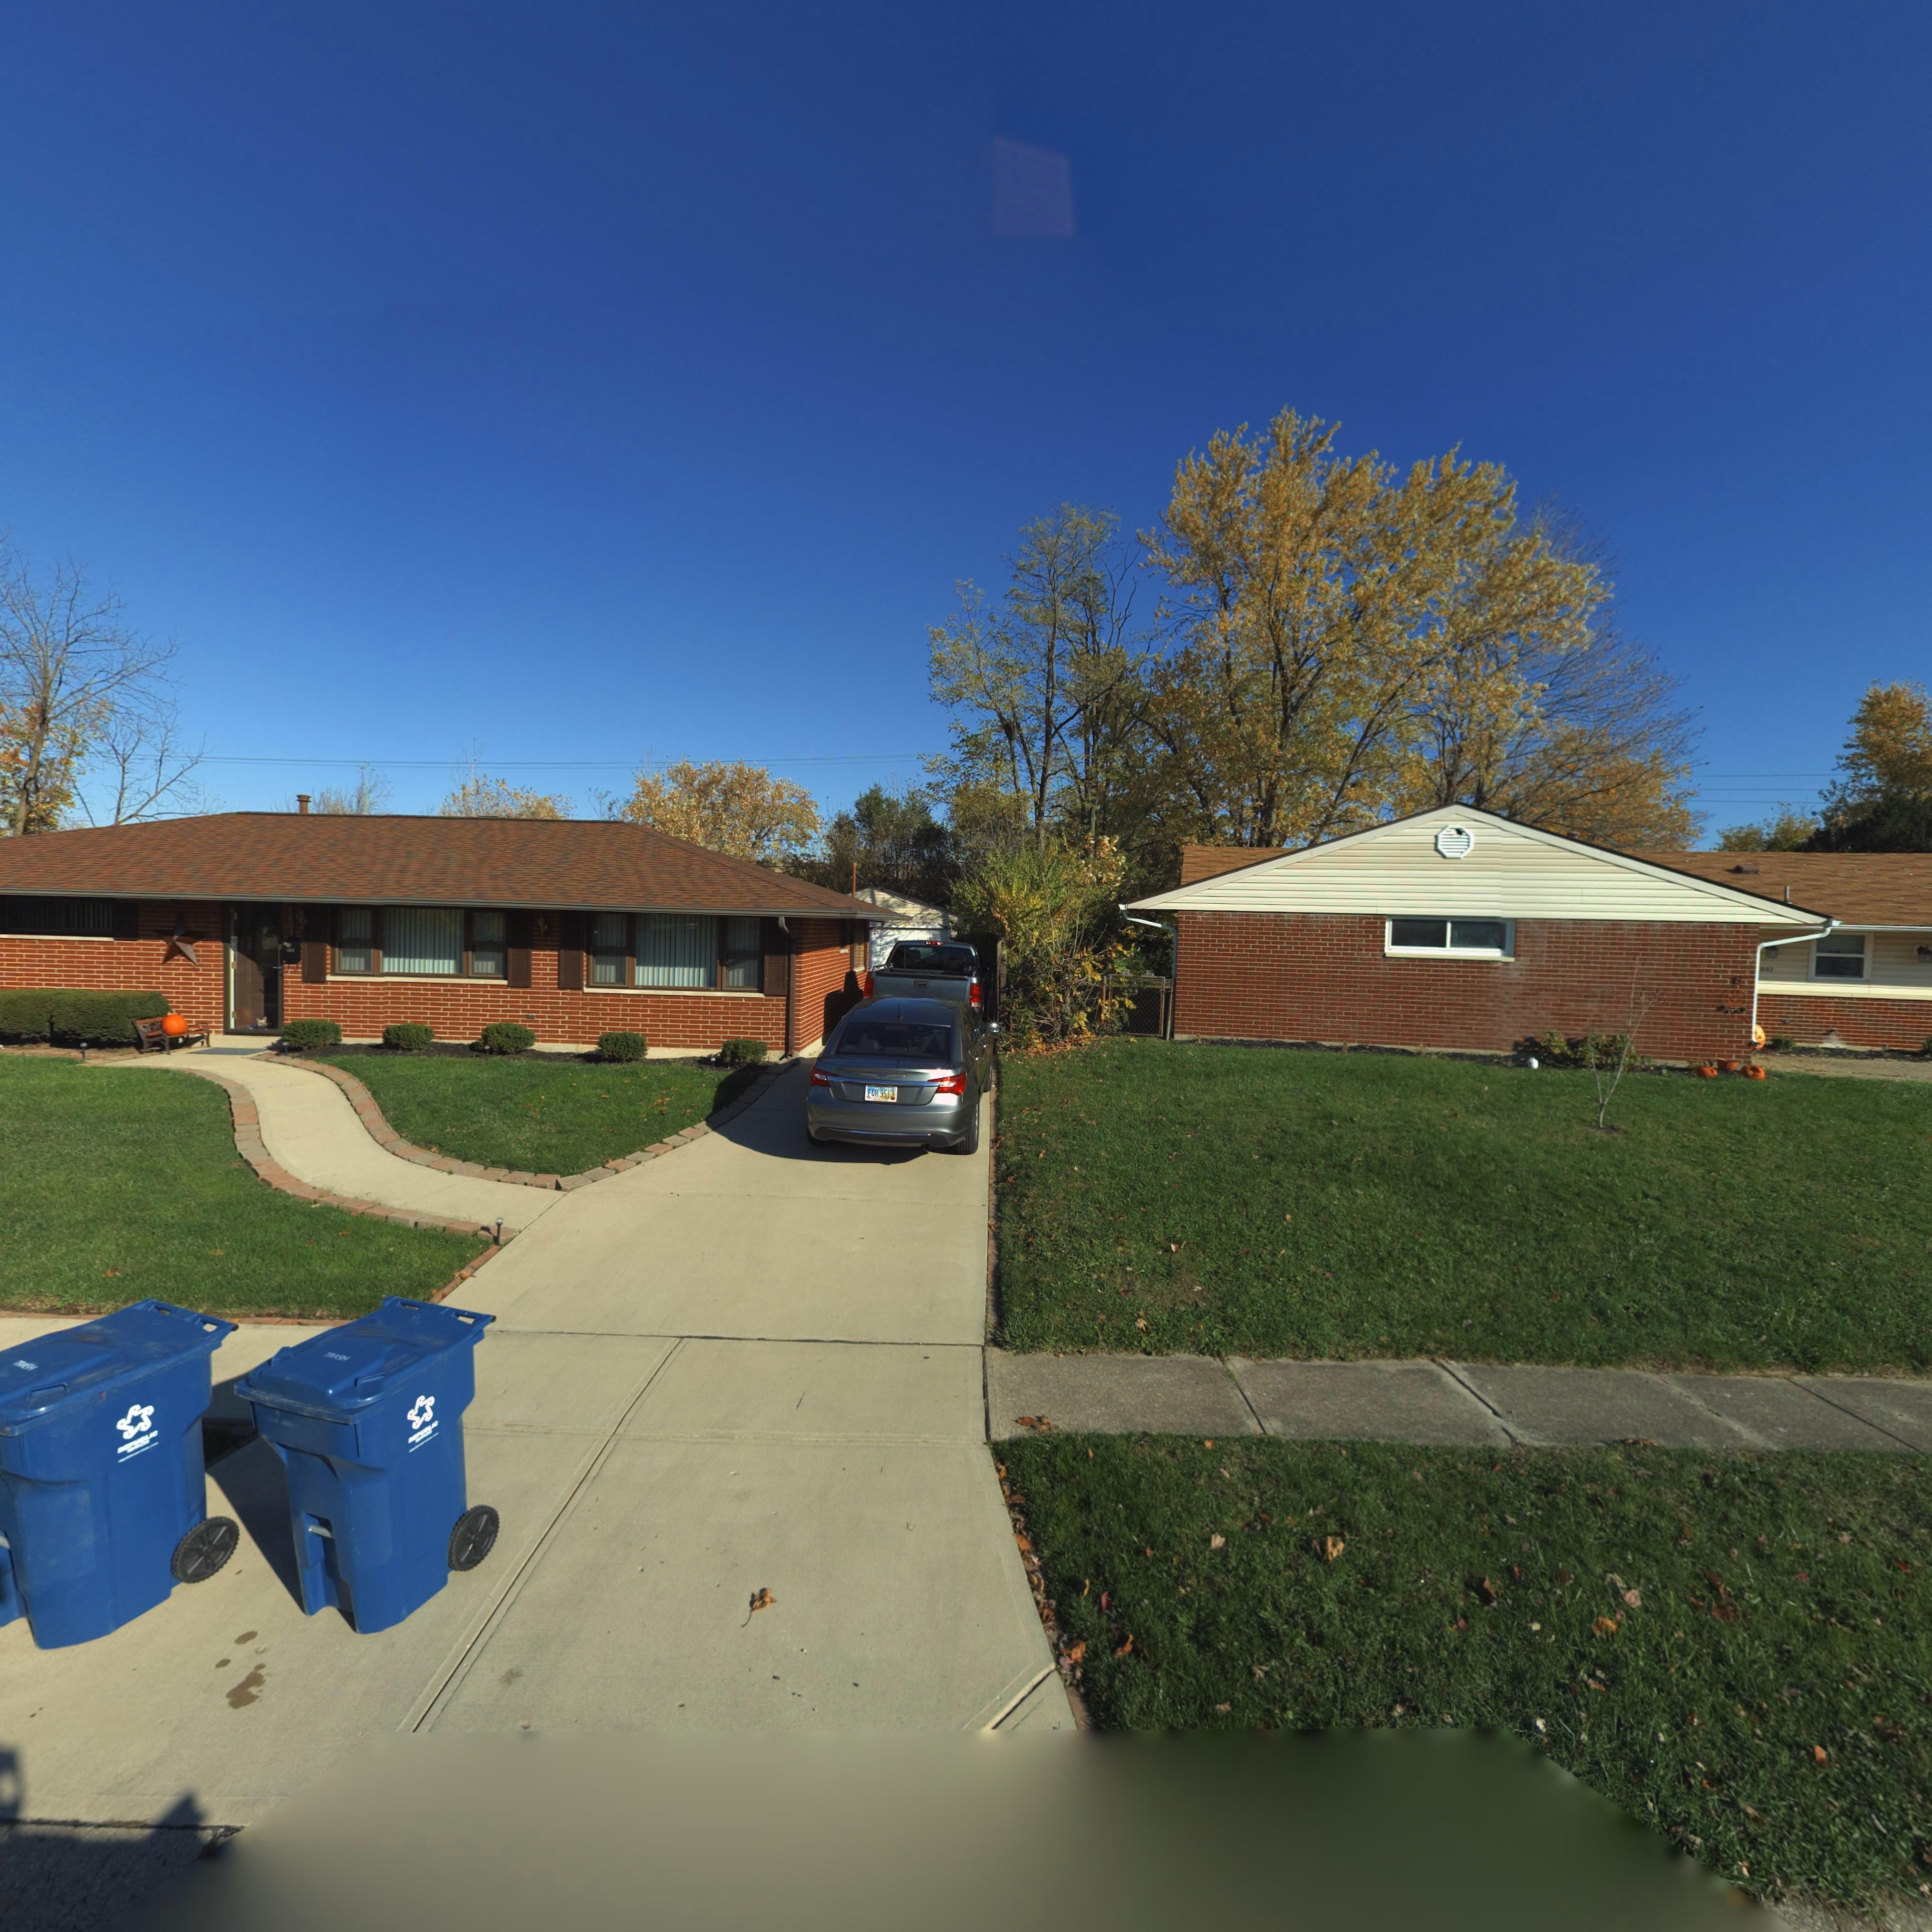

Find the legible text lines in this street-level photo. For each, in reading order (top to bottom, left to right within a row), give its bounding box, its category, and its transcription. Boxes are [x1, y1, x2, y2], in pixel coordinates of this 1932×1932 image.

[287, 905, 295, 937] StreetNumber: 8001
[1759, 966, 1776, 974] StreetNumber: 007